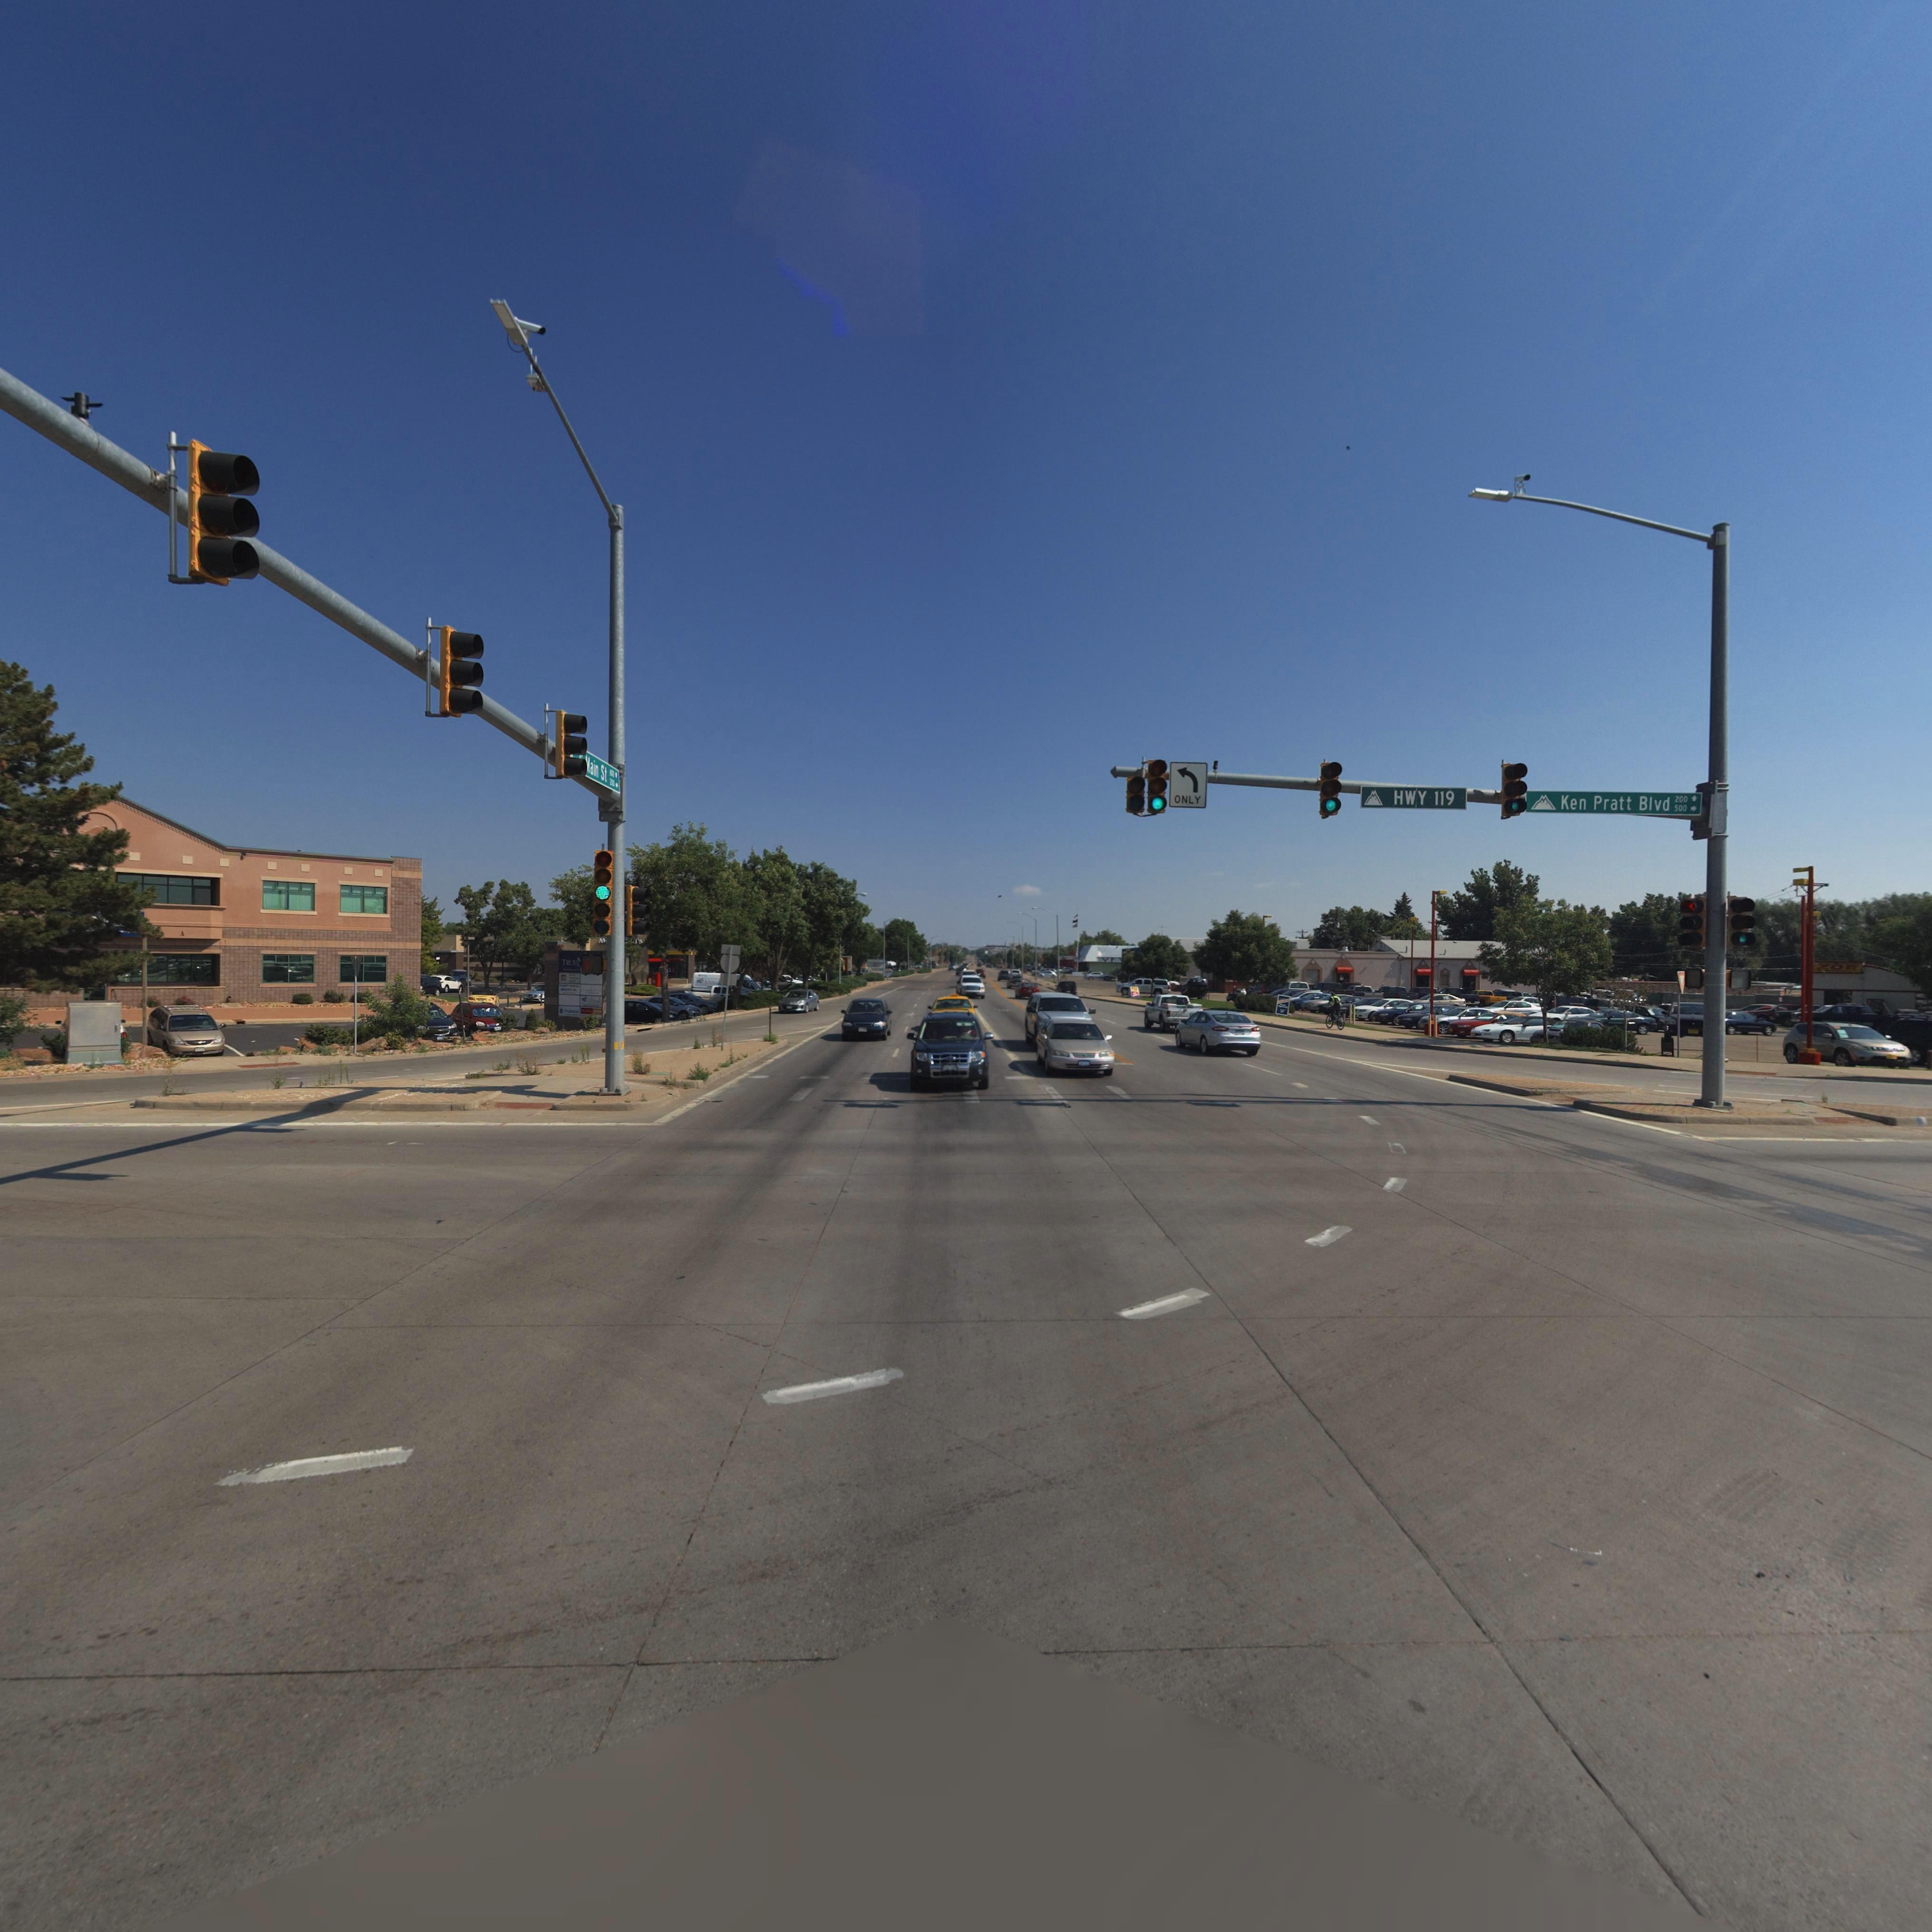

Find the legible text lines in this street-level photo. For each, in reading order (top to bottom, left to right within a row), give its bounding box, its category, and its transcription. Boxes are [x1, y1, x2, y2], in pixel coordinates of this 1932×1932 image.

[584, 754, 608, 784] StreetName: *ain St
[609, 769, 614, 777] StreetNumberRange: *00
[609, 778, 618, 788] StreetNumberRange: 200->
[1393, 790, 1456, 806] StreetName: HWY 119
[1560, 794, 1670, 811] StreetName: Ken Pratt Blvd
[1674, 795, 1688, 803] StreetNumberRange: 200
[1674, 804, 1698, 811] StreetNumberRange: 500->
[597, 937, 643, 944] BusinessName: M******l's
[561, 958, 577, 966] BusinessName: TRUE
[1816, 964, 1858, 970] BusinessName: ZOE
[587, 996, 602, 1003] BusinessName: Al******